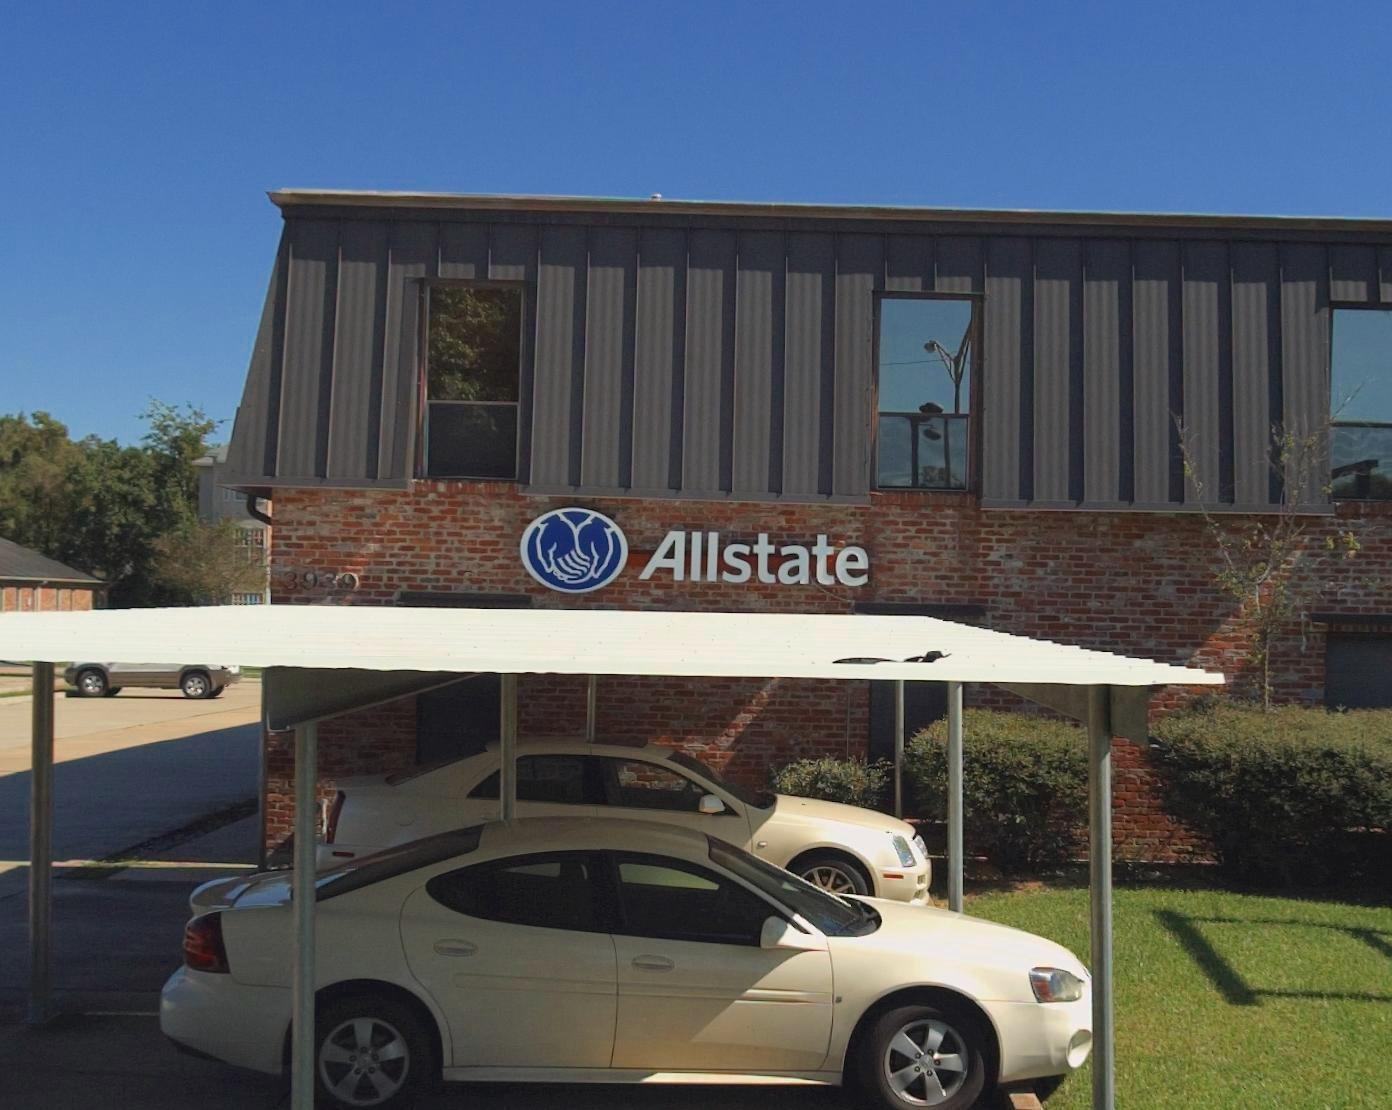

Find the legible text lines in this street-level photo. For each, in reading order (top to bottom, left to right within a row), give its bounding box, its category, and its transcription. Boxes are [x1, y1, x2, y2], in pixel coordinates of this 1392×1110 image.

[279, 568, 362, 595] StreetNumber: 3939
[632, 528, 871, 589] BusinessName: Allstate 